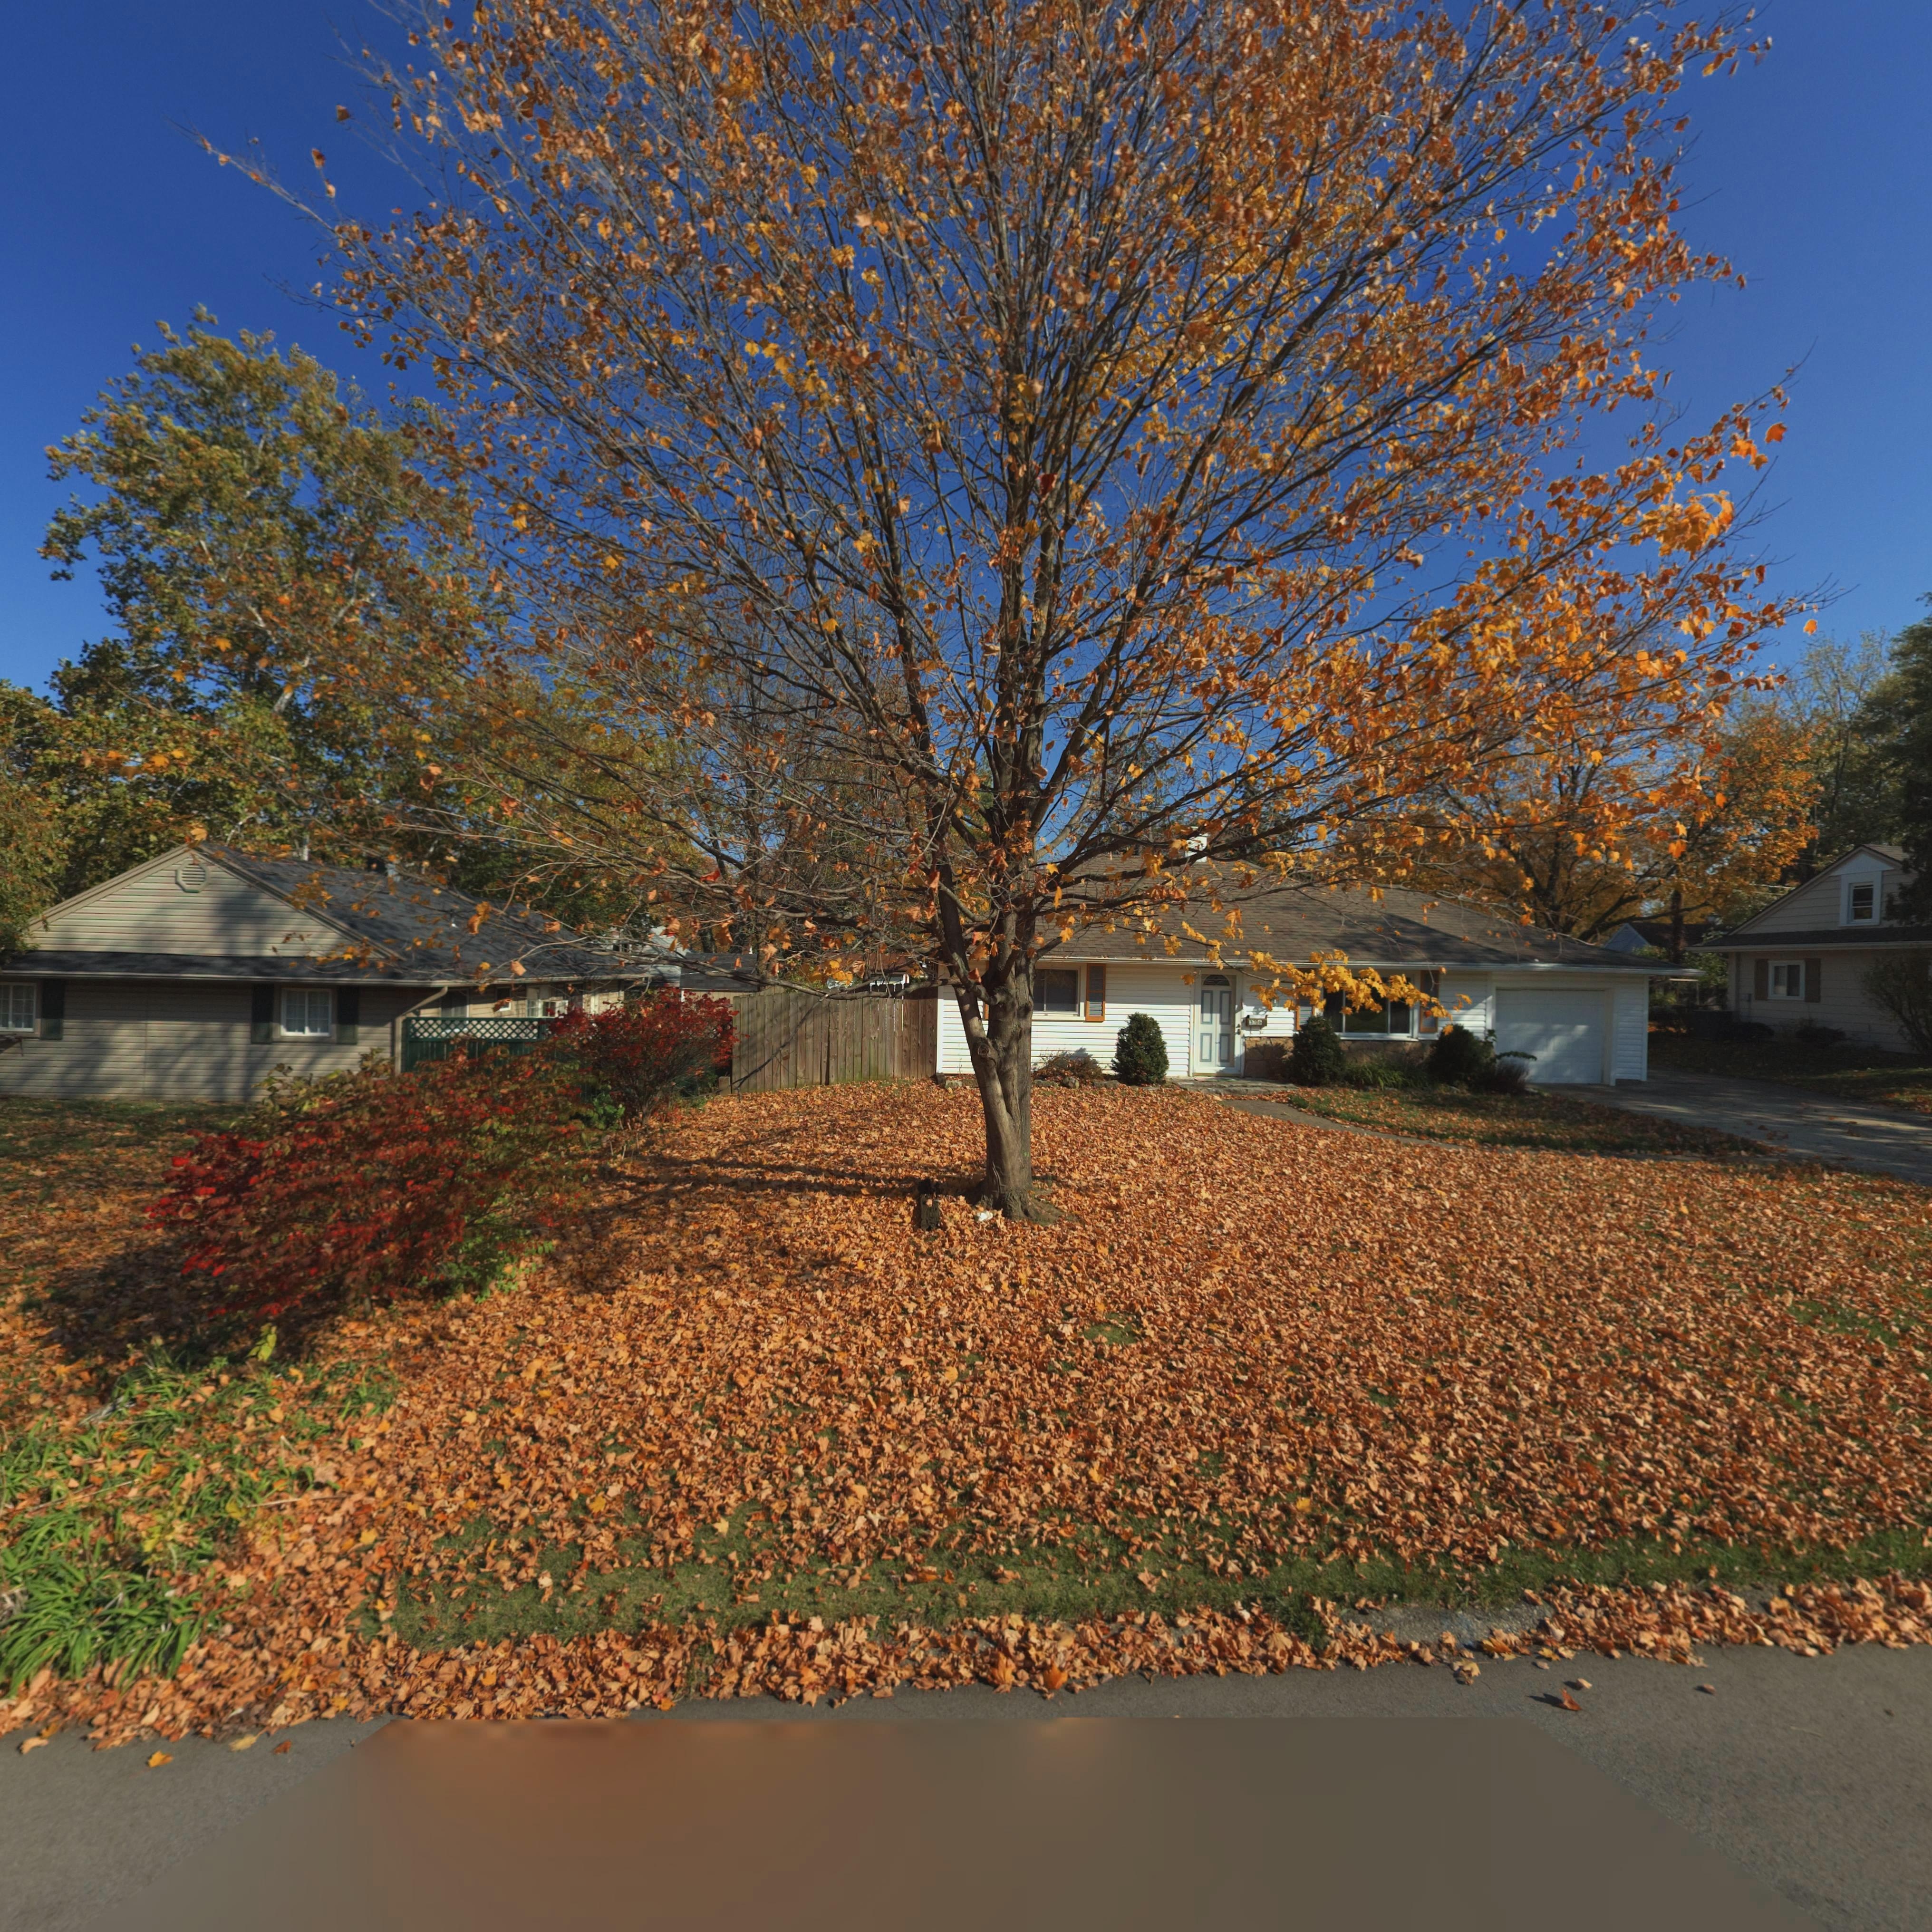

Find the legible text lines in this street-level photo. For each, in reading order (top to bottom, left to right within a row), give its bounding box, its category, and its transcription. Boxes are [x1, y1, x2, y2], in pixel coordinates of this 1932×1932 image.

[1249, 1019, 1262, 1024] StreetNumber: 3706